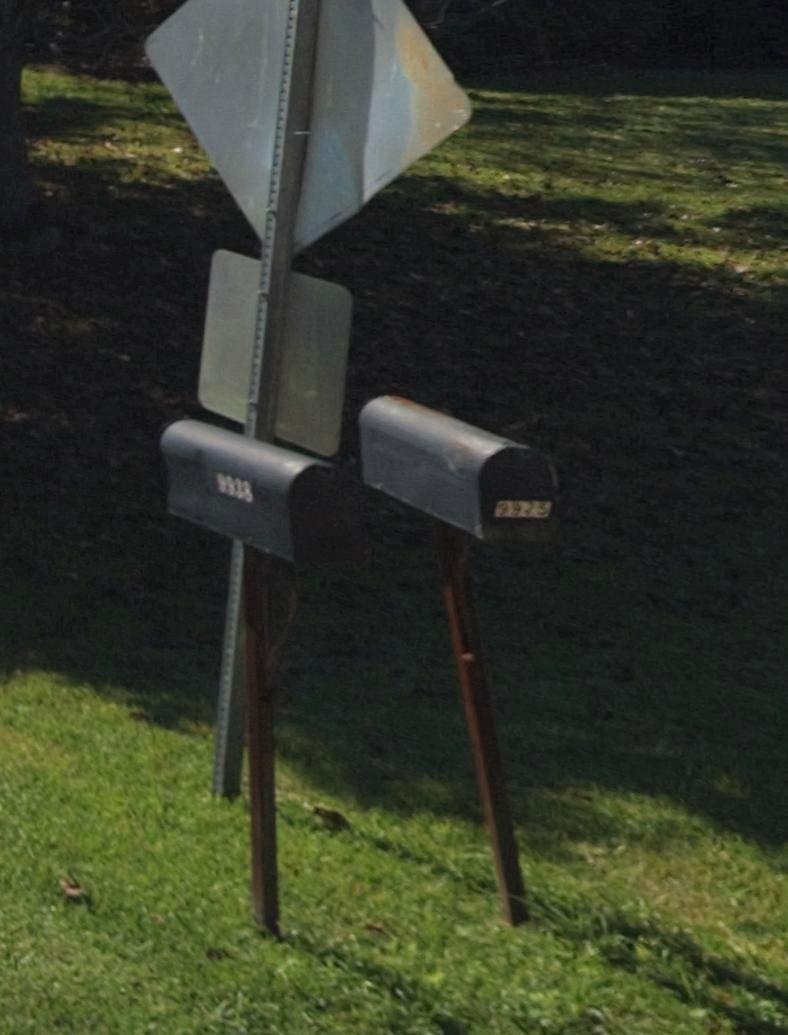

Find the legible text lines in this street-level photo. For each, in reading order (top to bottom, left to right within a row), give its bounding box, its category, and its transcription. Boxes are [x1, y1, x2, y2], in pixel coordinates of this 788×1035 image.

[214, 471, 254, 504] StreetNumber: 99**
[493, 500, 554, 518] StreetNumber: 9925